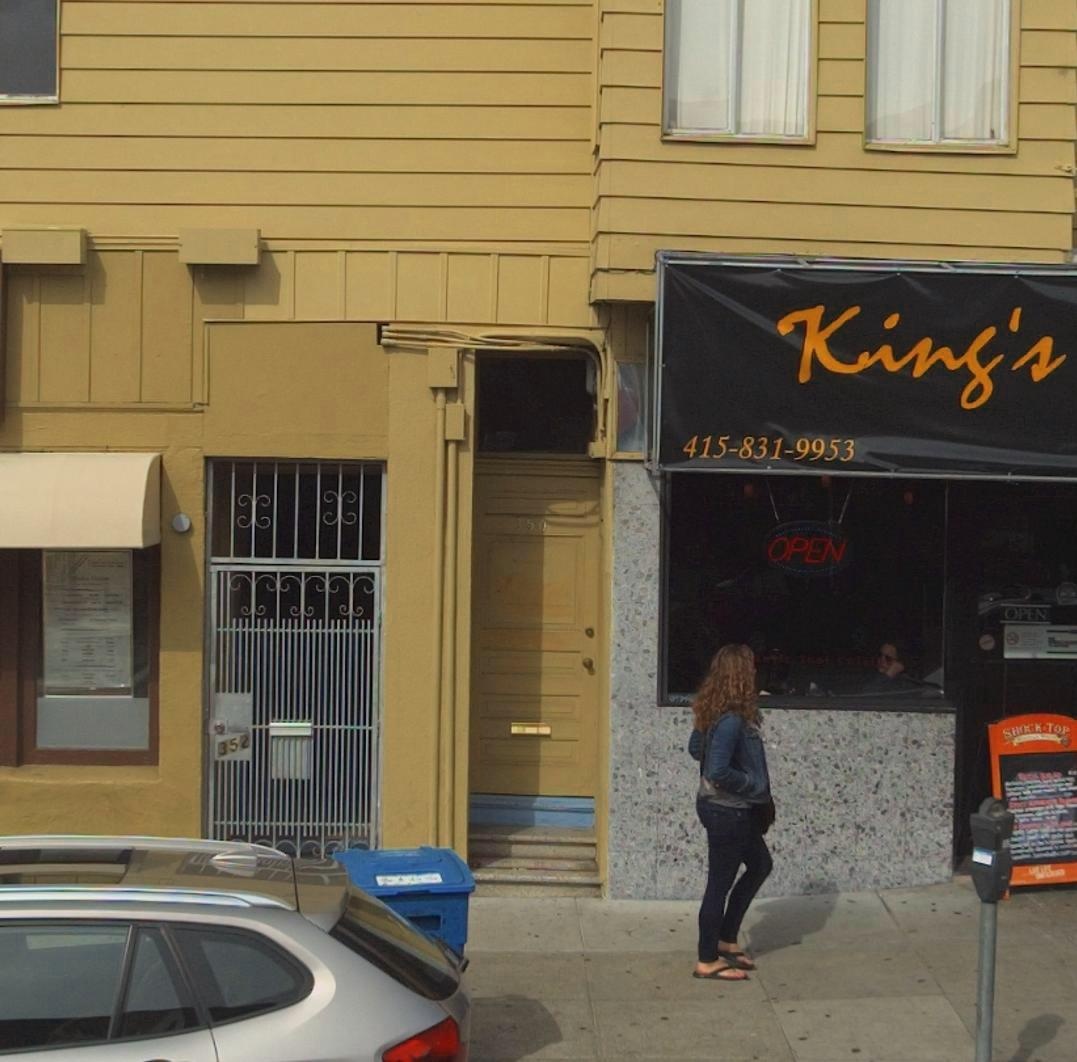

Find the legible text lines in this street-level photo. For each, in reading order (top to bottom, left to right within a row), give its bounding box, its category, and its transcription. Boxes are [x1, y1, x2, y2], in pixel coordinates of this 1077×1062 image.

[773, 302, 1068, 413] BusinessName: King's
[679, 434, 857, 465] None: 415-831-9953
[512, 518, 548, 533] StreetNumber: 350
[767, 536, 849, 565] None: OPEN
[1004, 605, 1049, 622] None: OPEN
[1000, 721, 1071, 740] None: SHOCK*TOP
[217, 731, 250, 758] StreetNumber: 352